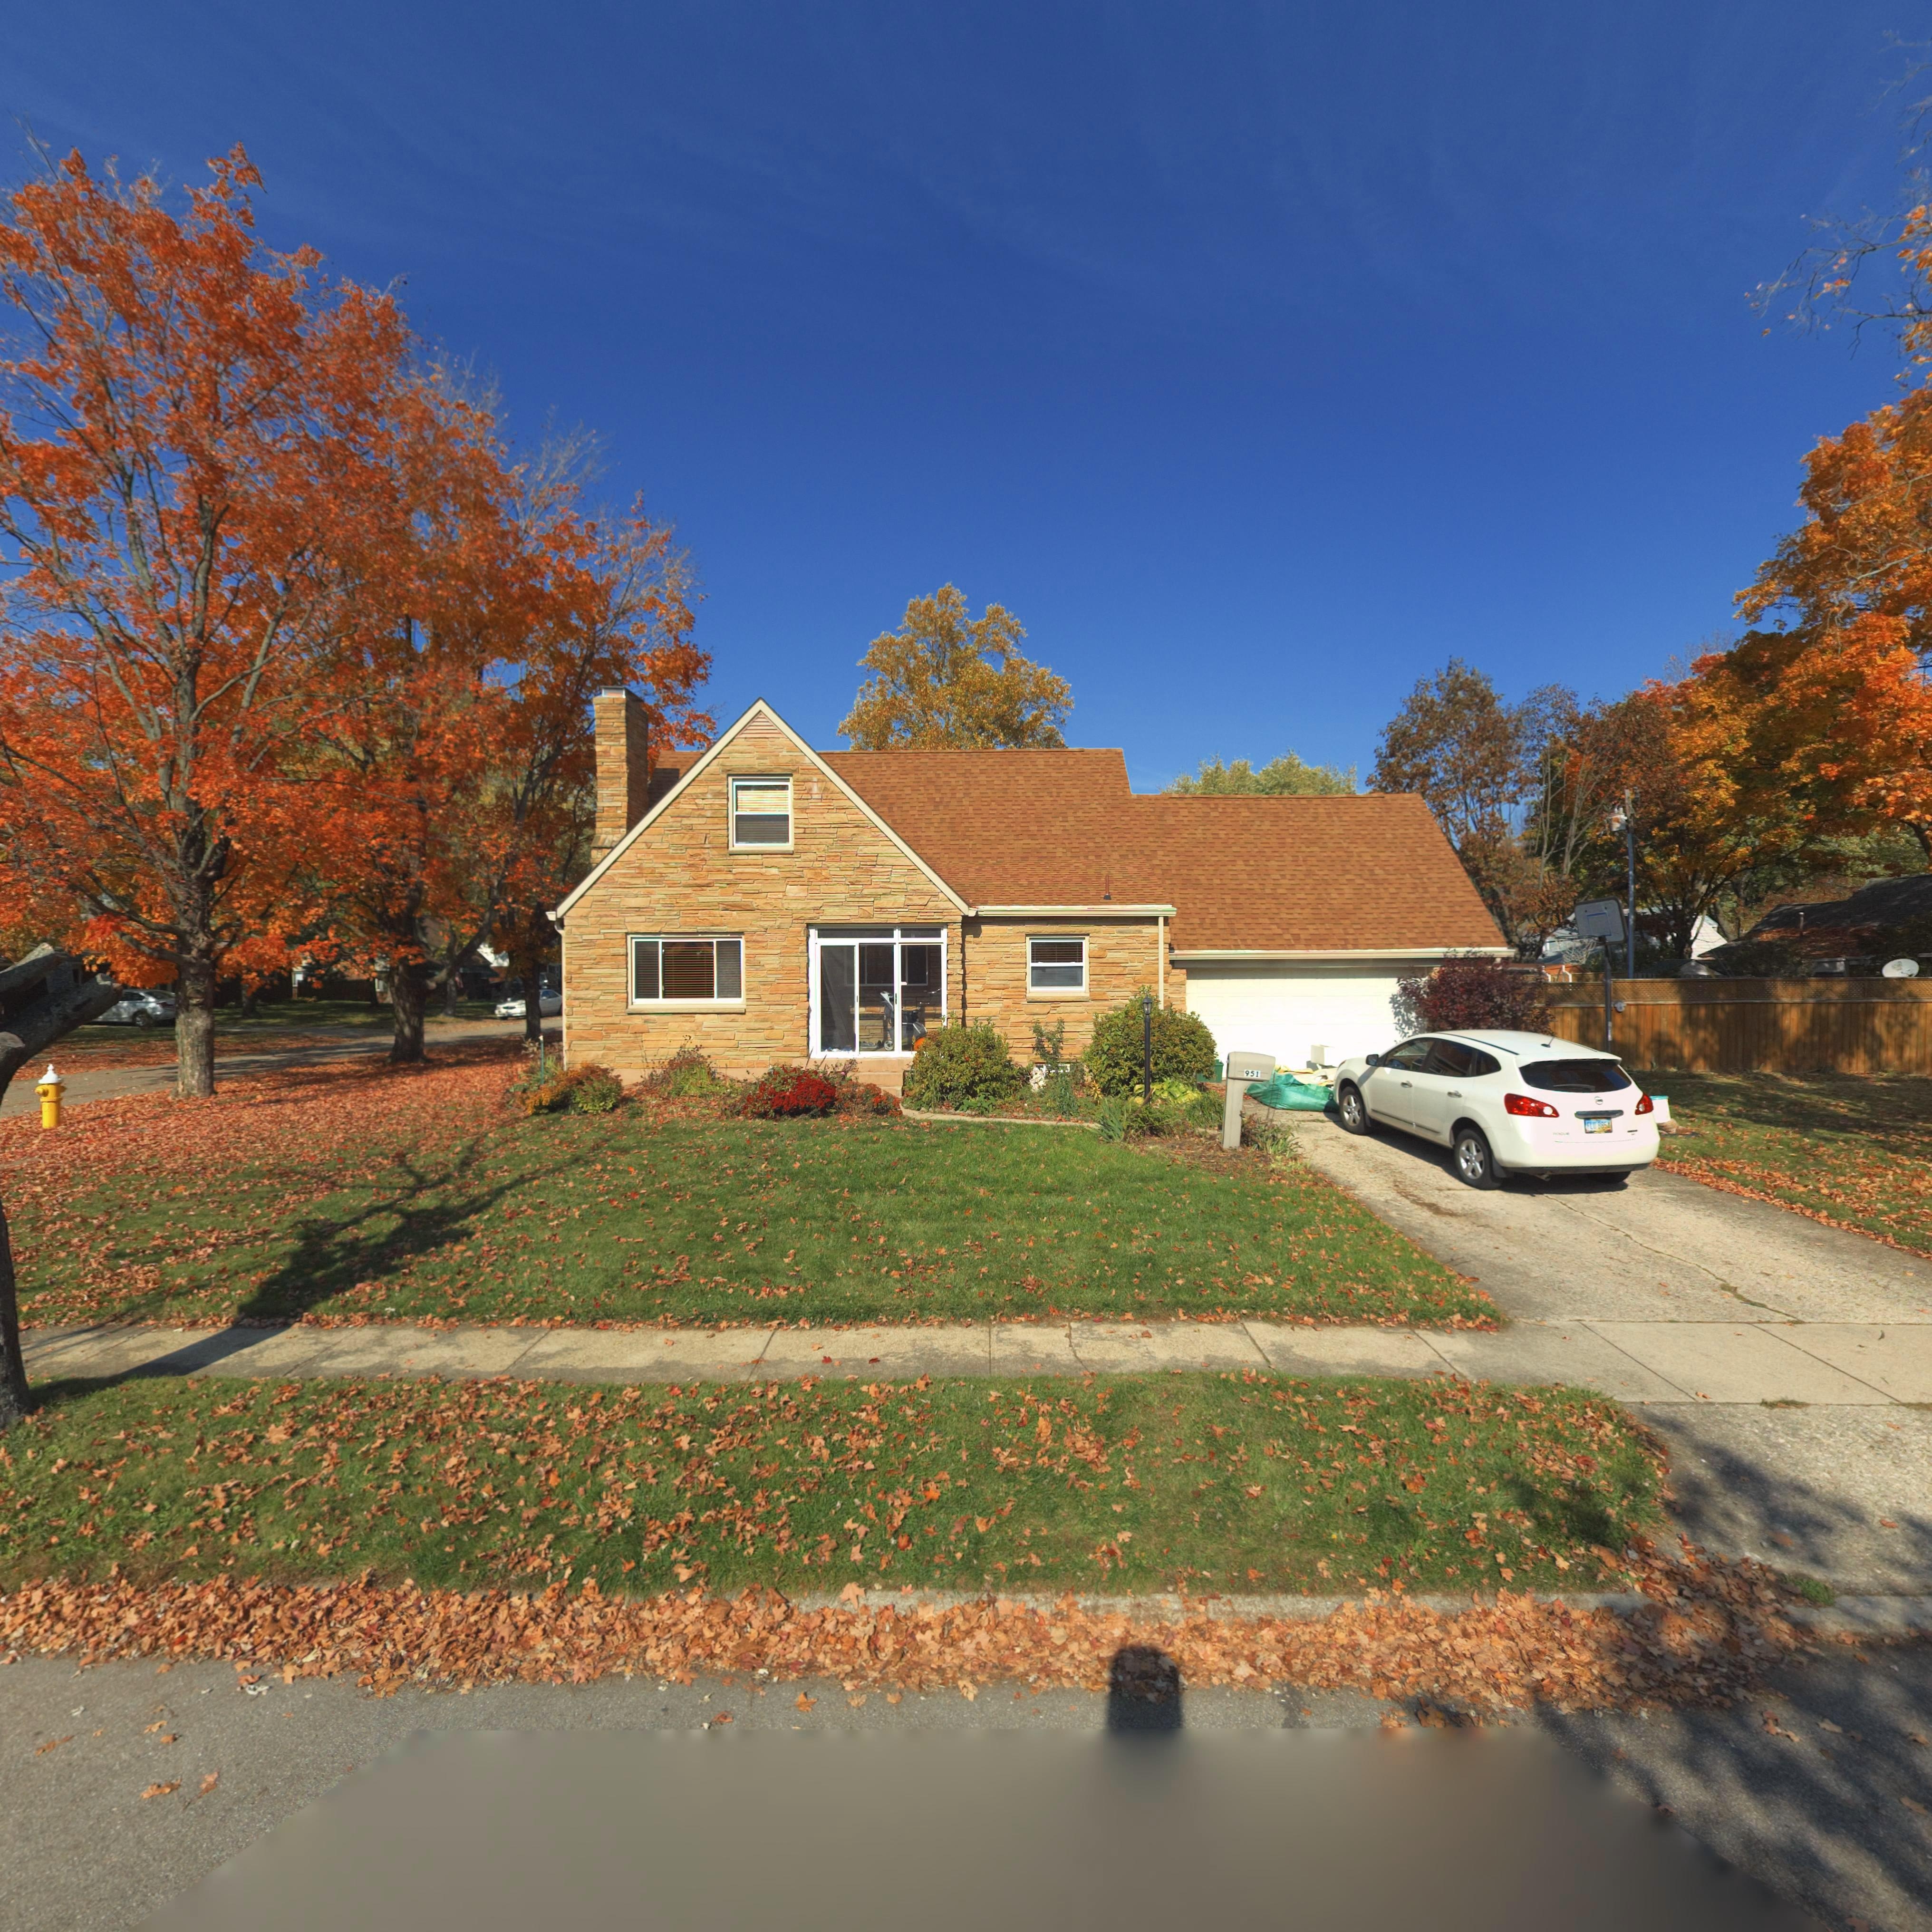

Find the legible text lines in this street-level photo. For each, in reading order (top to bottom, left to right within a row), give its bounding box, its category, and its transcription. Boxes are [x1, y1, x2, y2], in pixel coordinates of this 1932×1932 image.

[1244, 1068, 1261, 1079] StreetNumber: 951